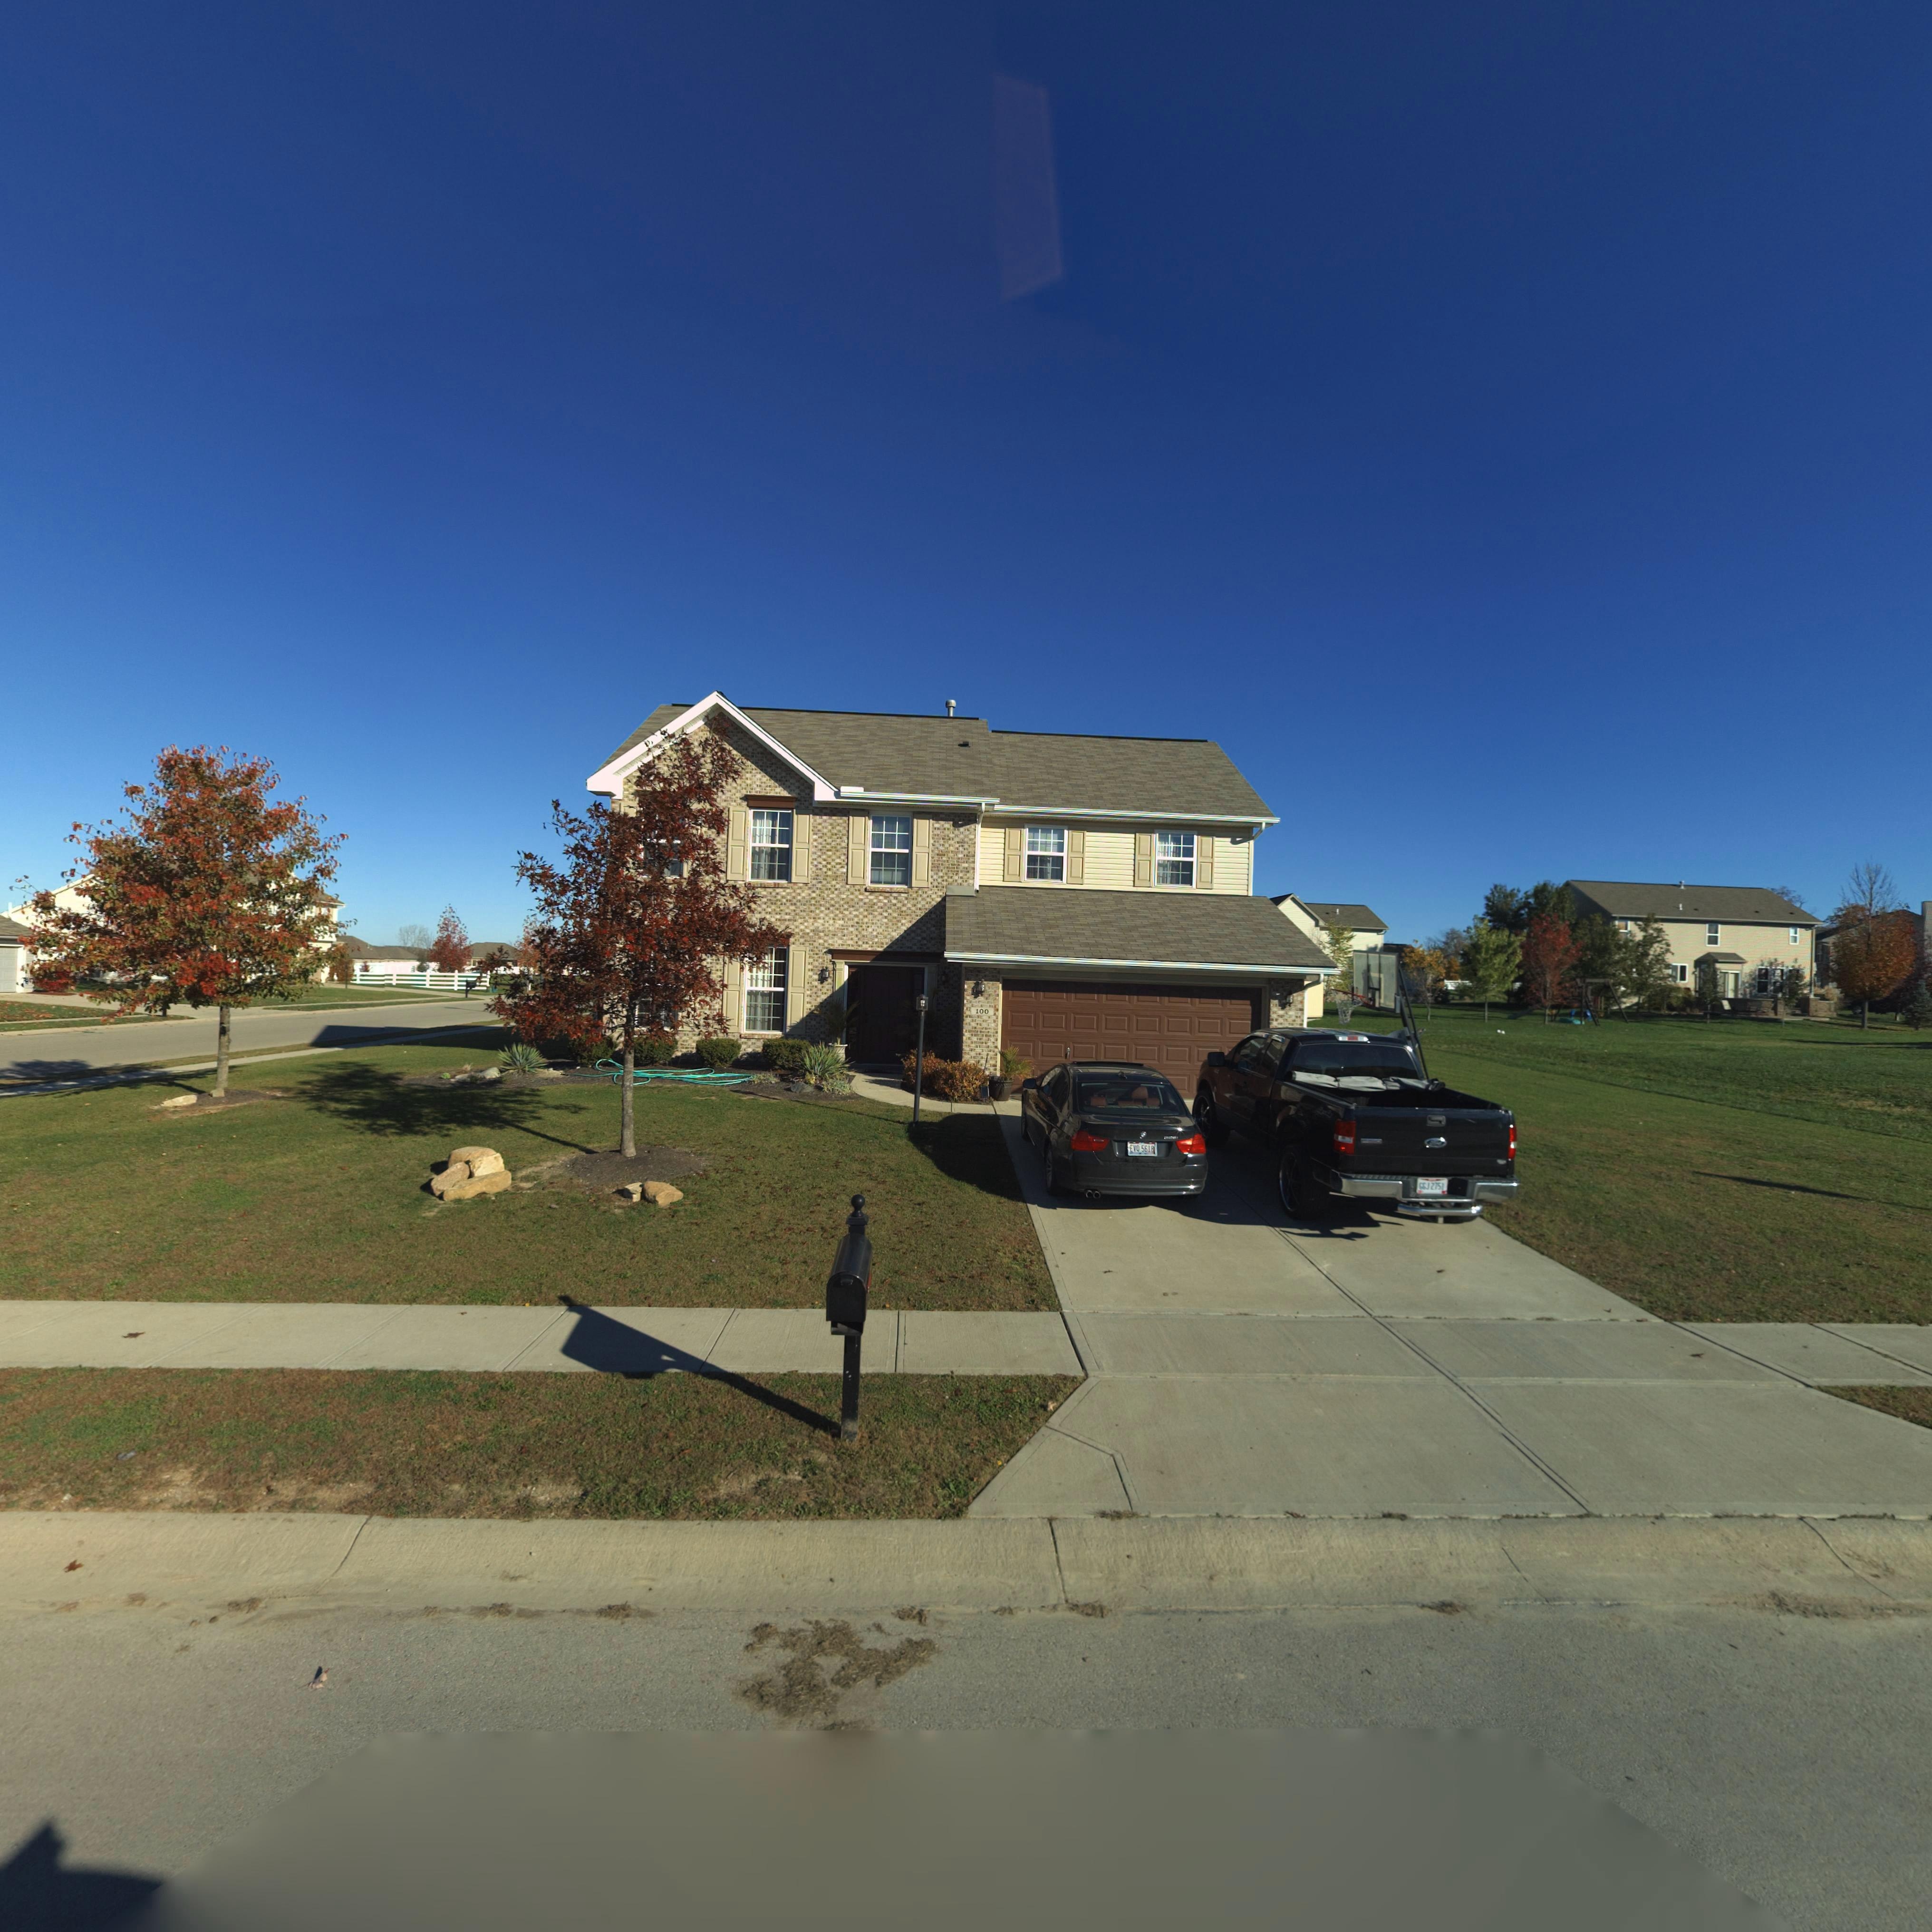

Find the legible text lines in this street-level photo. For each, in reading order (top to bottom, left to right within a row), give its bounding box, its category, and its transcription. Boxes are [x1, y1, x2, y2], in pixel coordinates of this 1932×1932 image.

[975, 1008, 989, 1014] StreetNumber: 100
[1129, 1143, 1154, 1153] None: EVO 5618
[1418, 1181, 1444, 1192] None: GGJ 2751